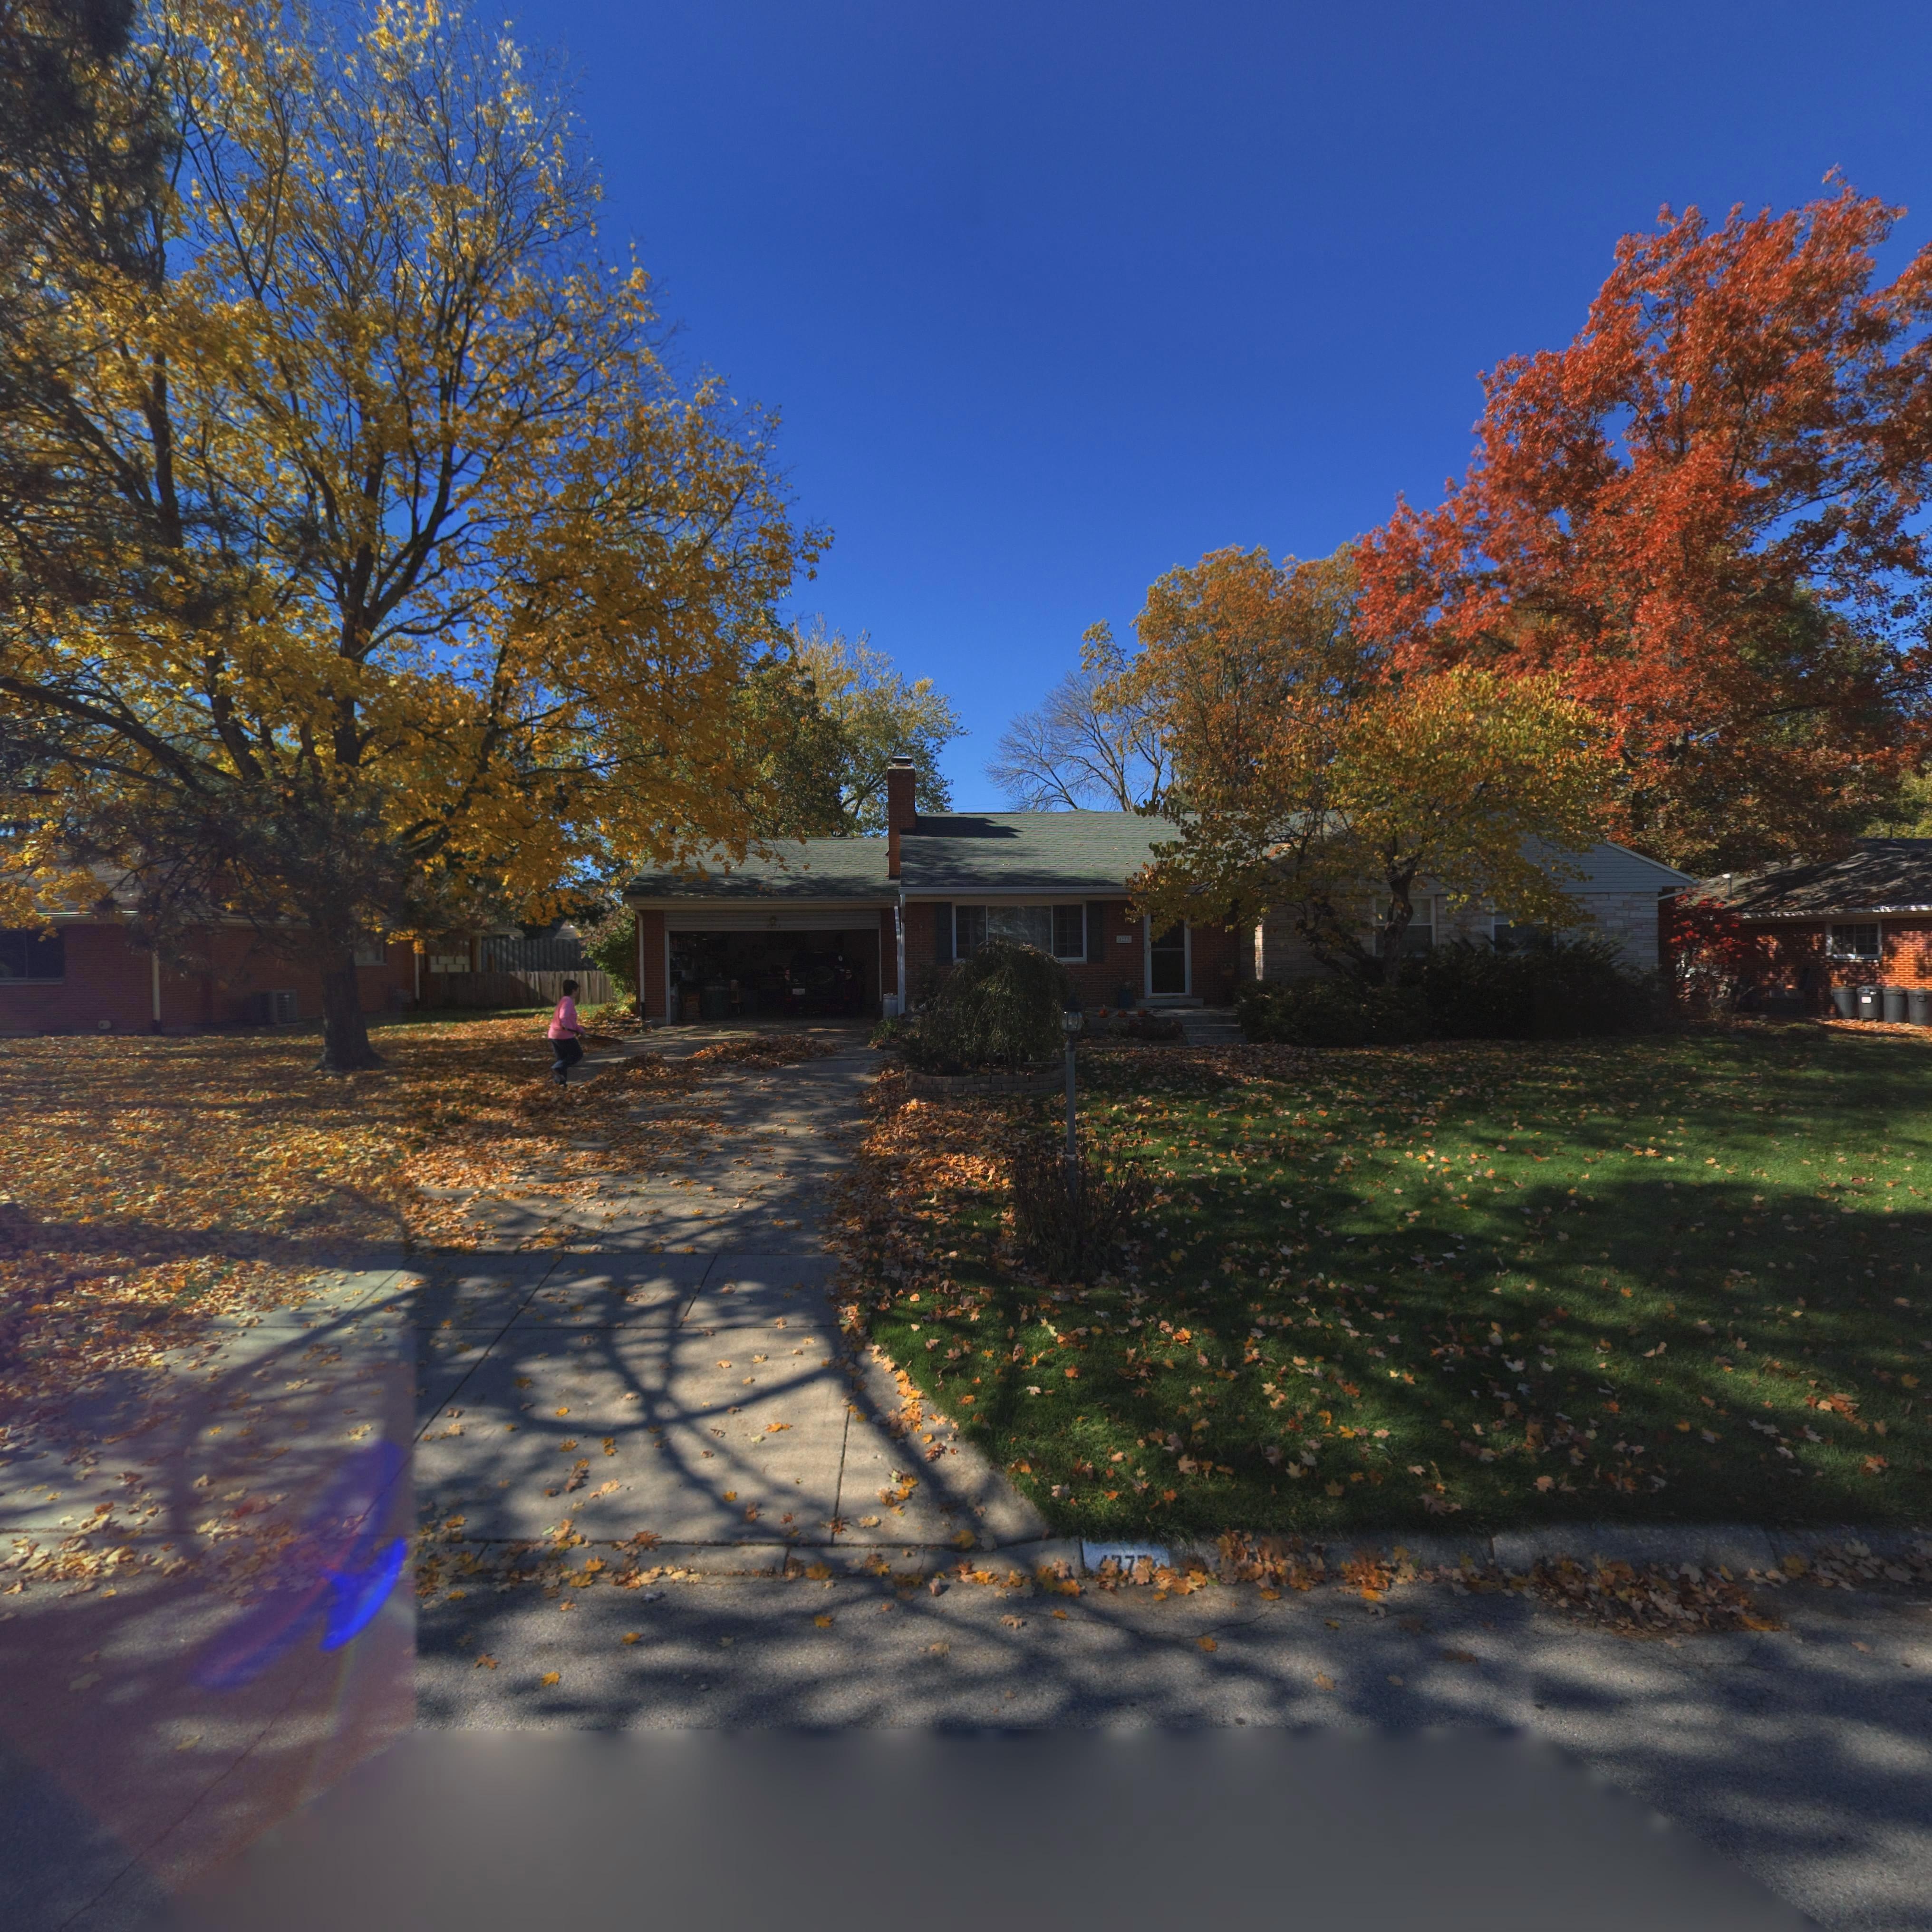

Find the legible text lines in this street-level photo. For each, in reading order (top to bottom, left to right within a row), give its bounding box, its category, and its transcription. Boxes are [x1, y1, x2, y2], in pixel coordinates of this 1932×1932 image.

[1118, 937, 1130, 942] StreetNumber: 4***
[1123, 1554, 1137, 1575] StreetNumber: 7